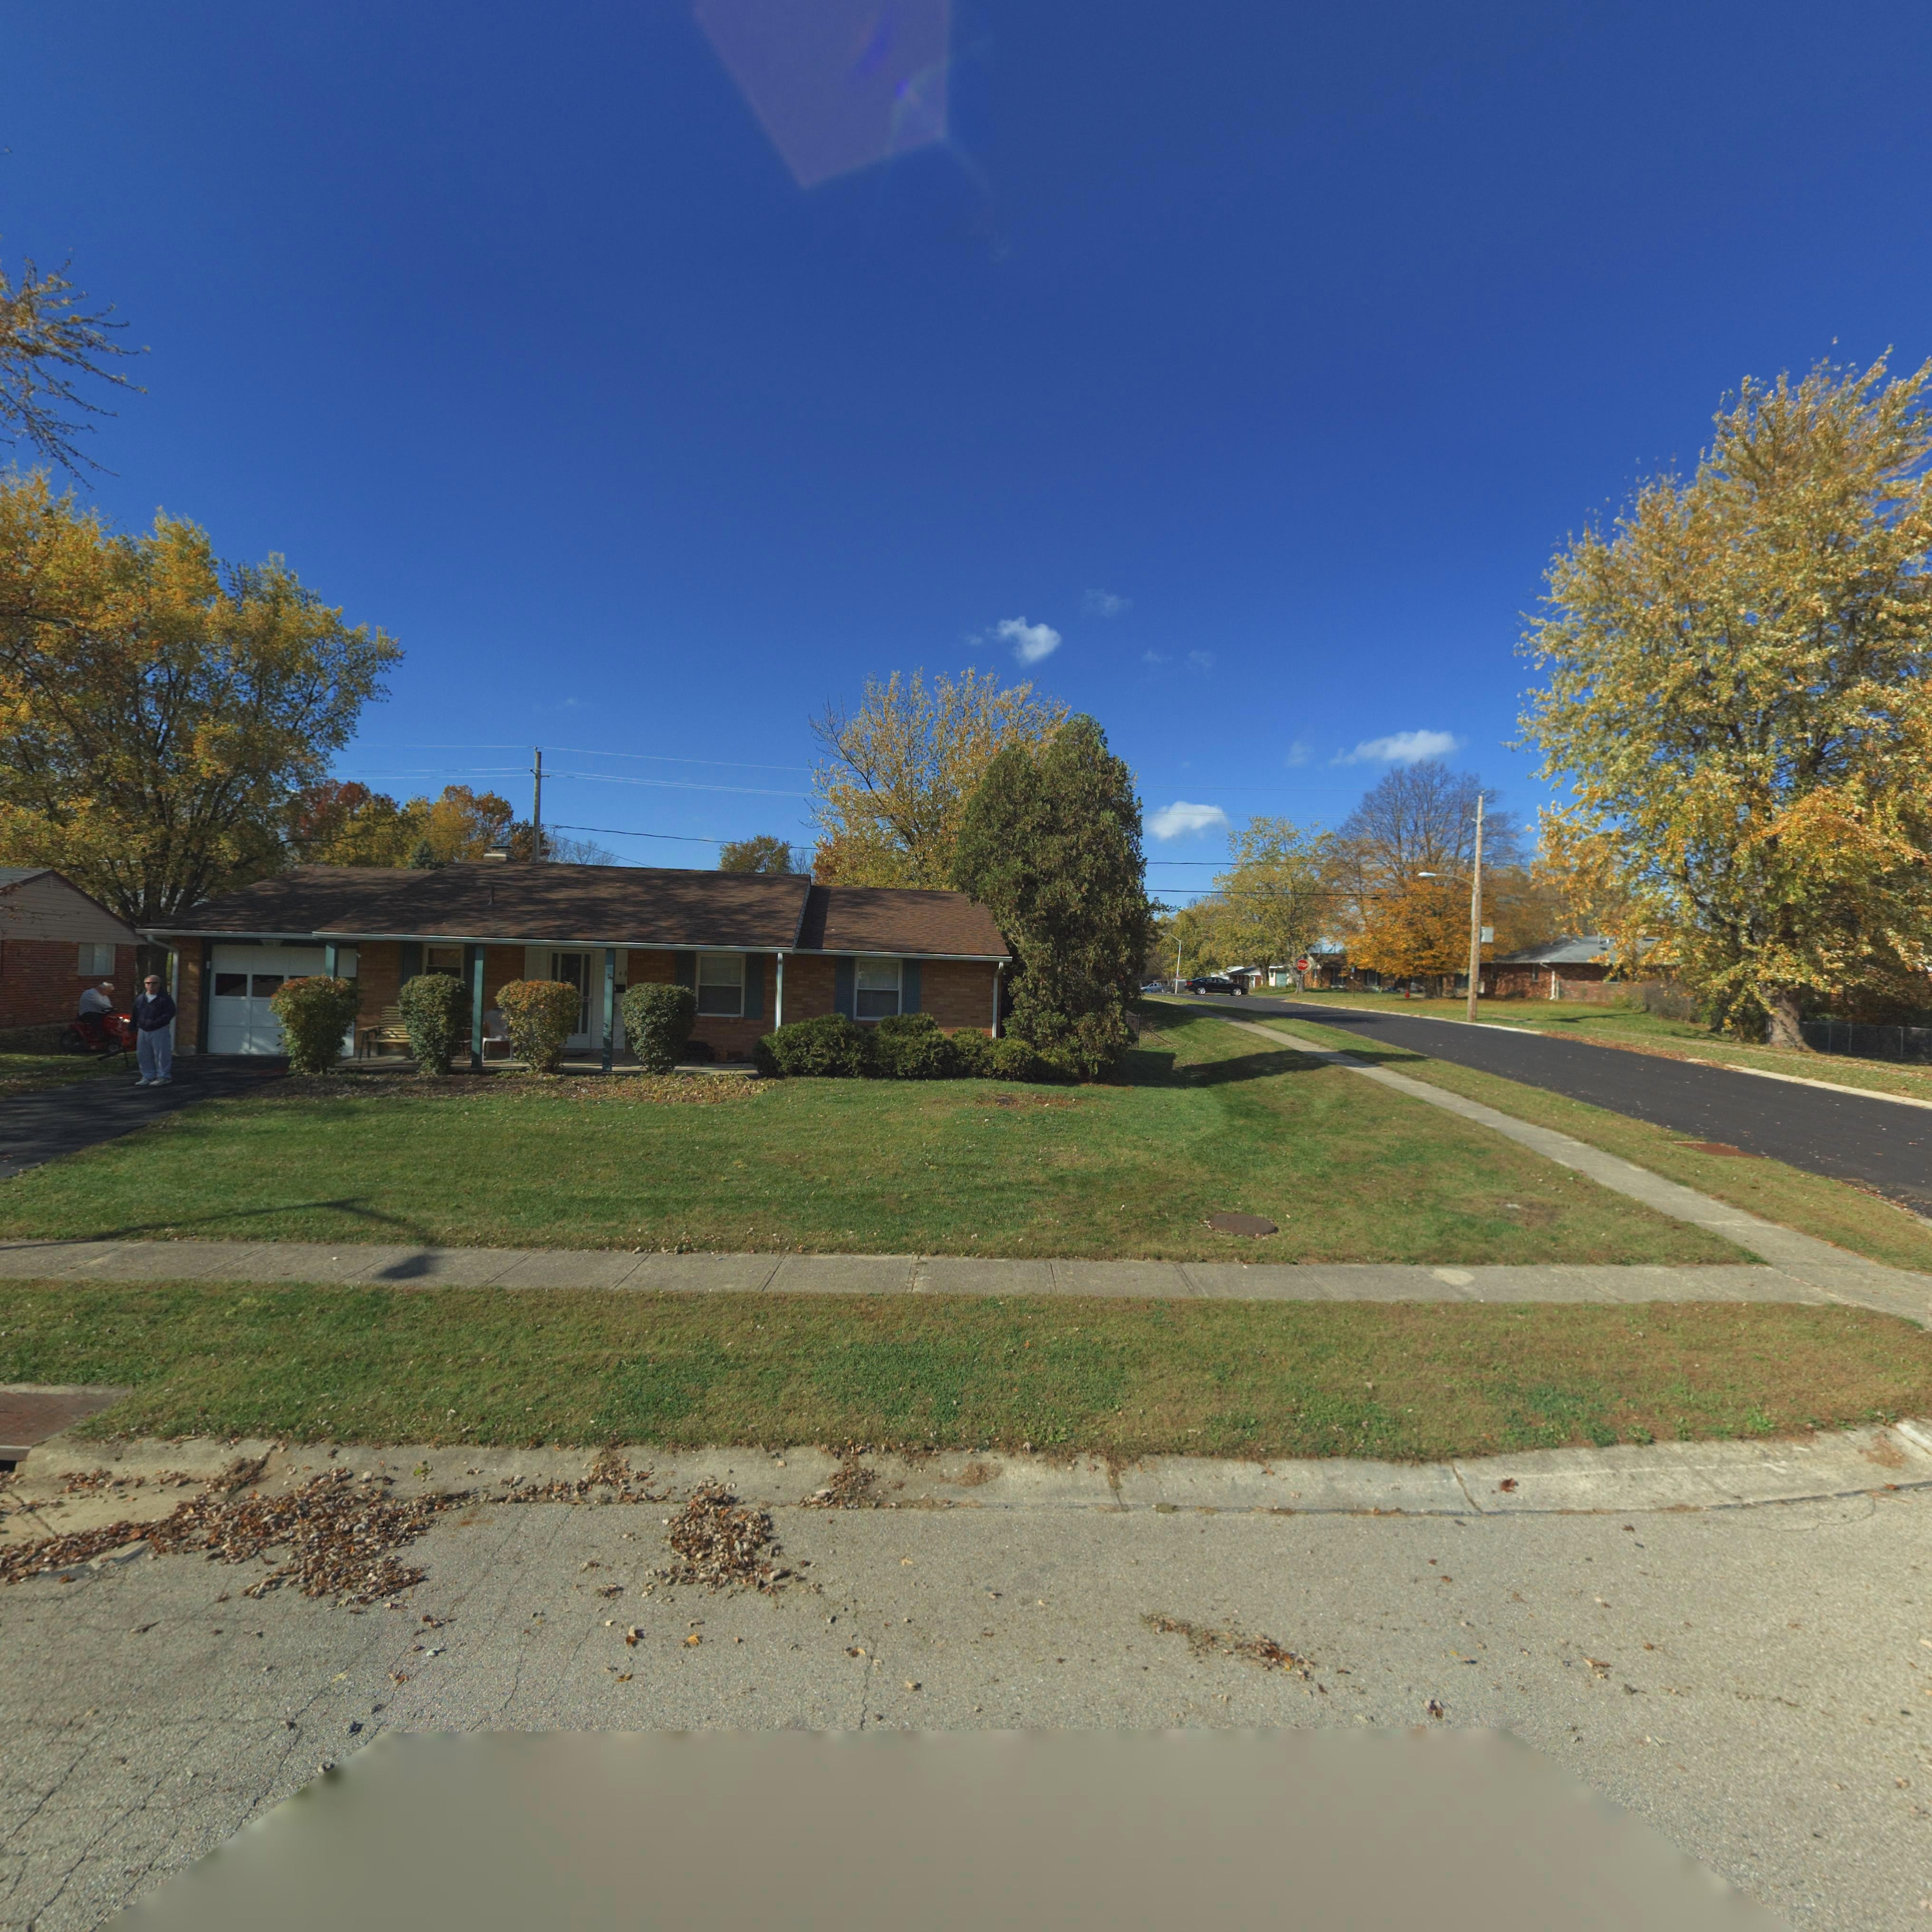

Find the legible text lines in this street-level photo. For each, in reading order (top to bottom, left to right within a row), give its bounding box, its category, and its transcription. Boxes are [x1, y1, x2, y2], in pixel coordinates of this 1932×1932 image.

[618, 970, 623, 977] StreetNumber: 4